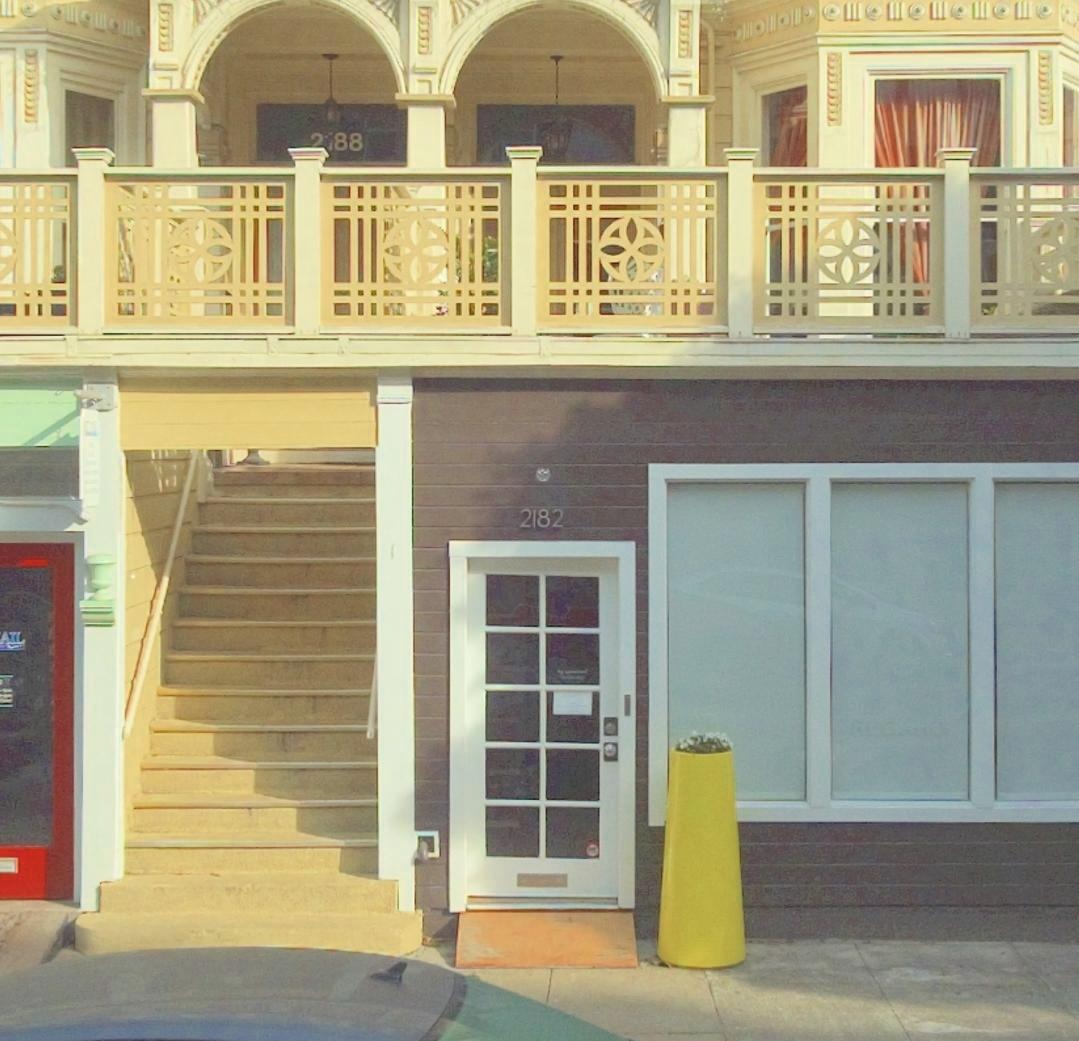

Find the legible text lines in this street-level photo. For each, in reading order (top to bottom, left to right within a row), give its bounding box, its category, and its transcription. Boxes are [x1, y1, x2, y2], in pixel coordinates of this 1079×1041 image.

[307, 130, 365, 154] StreetNumber: 2*88
[517, 506, 566, 530] StreetNumber: 2182
[8, 630, 27, 646] None: IL